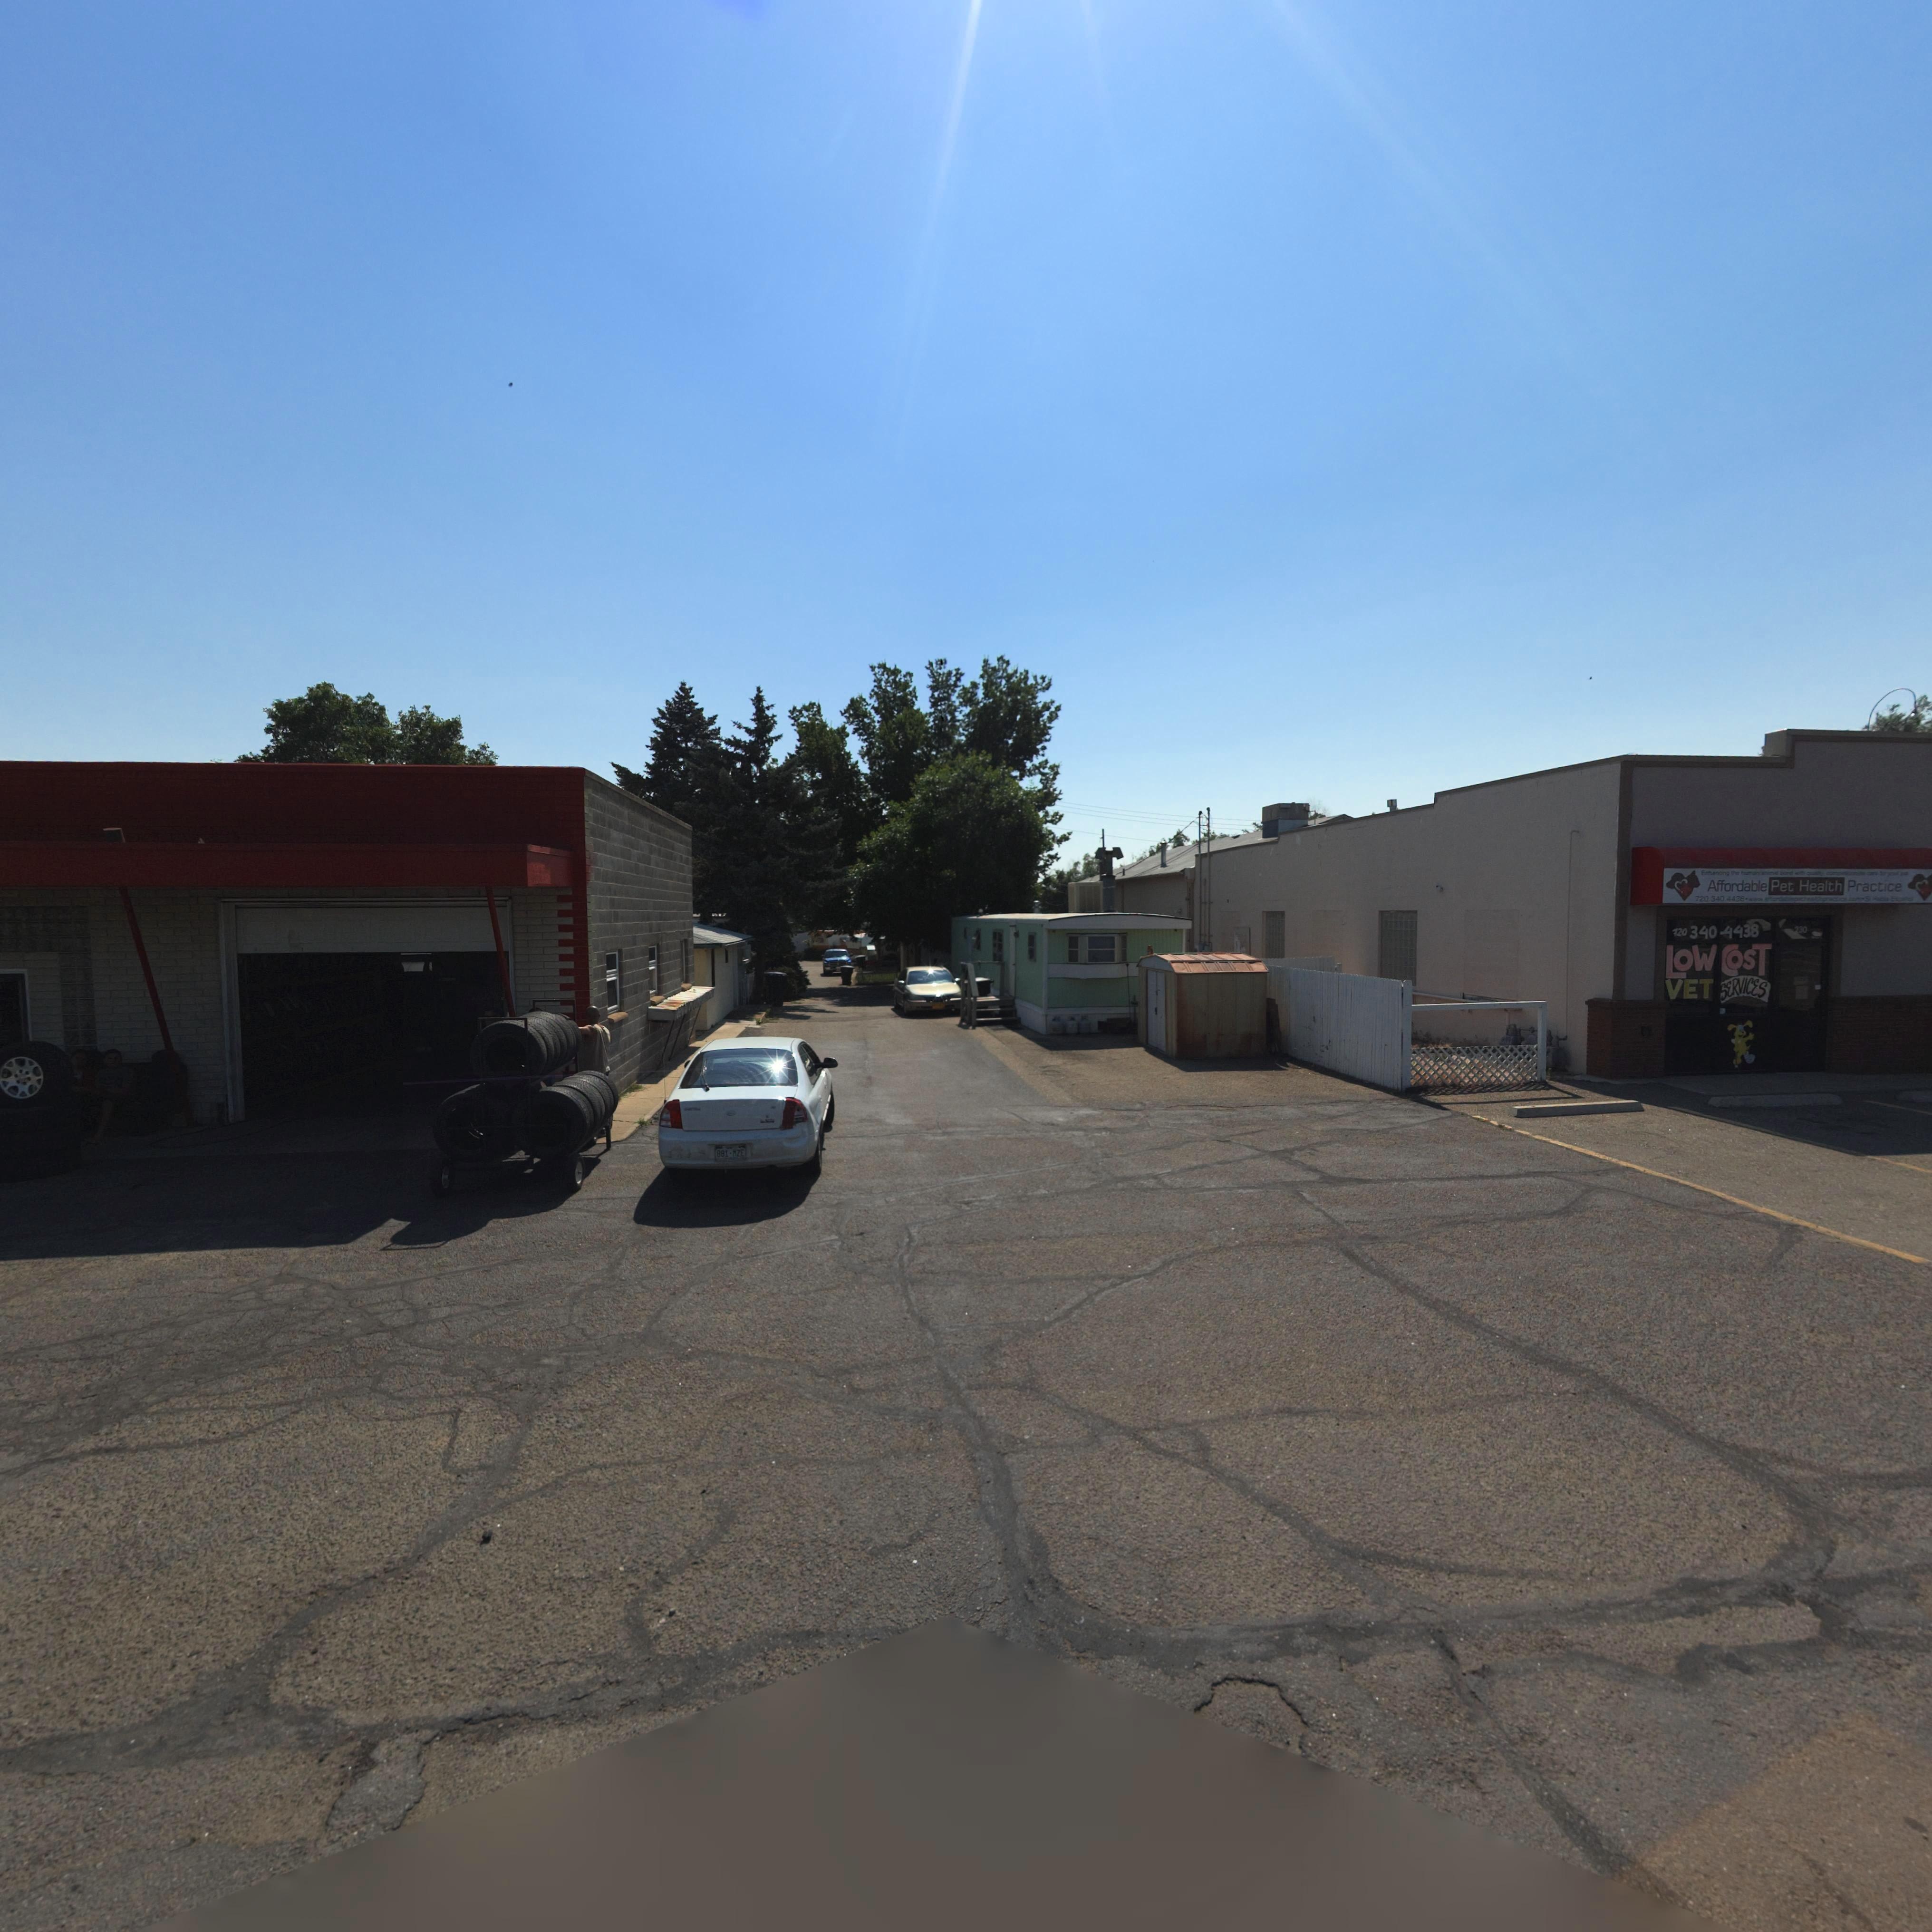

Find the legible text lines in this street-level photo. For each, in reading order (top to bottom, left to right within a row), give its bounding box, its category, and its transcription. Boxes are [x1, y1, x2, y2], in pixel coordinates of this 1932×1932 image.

[1707, 879, 1902, 892] BusinessName: Affordable Pet Health Practice
[1794, 925, 1807, 933] StreetNumber: 230